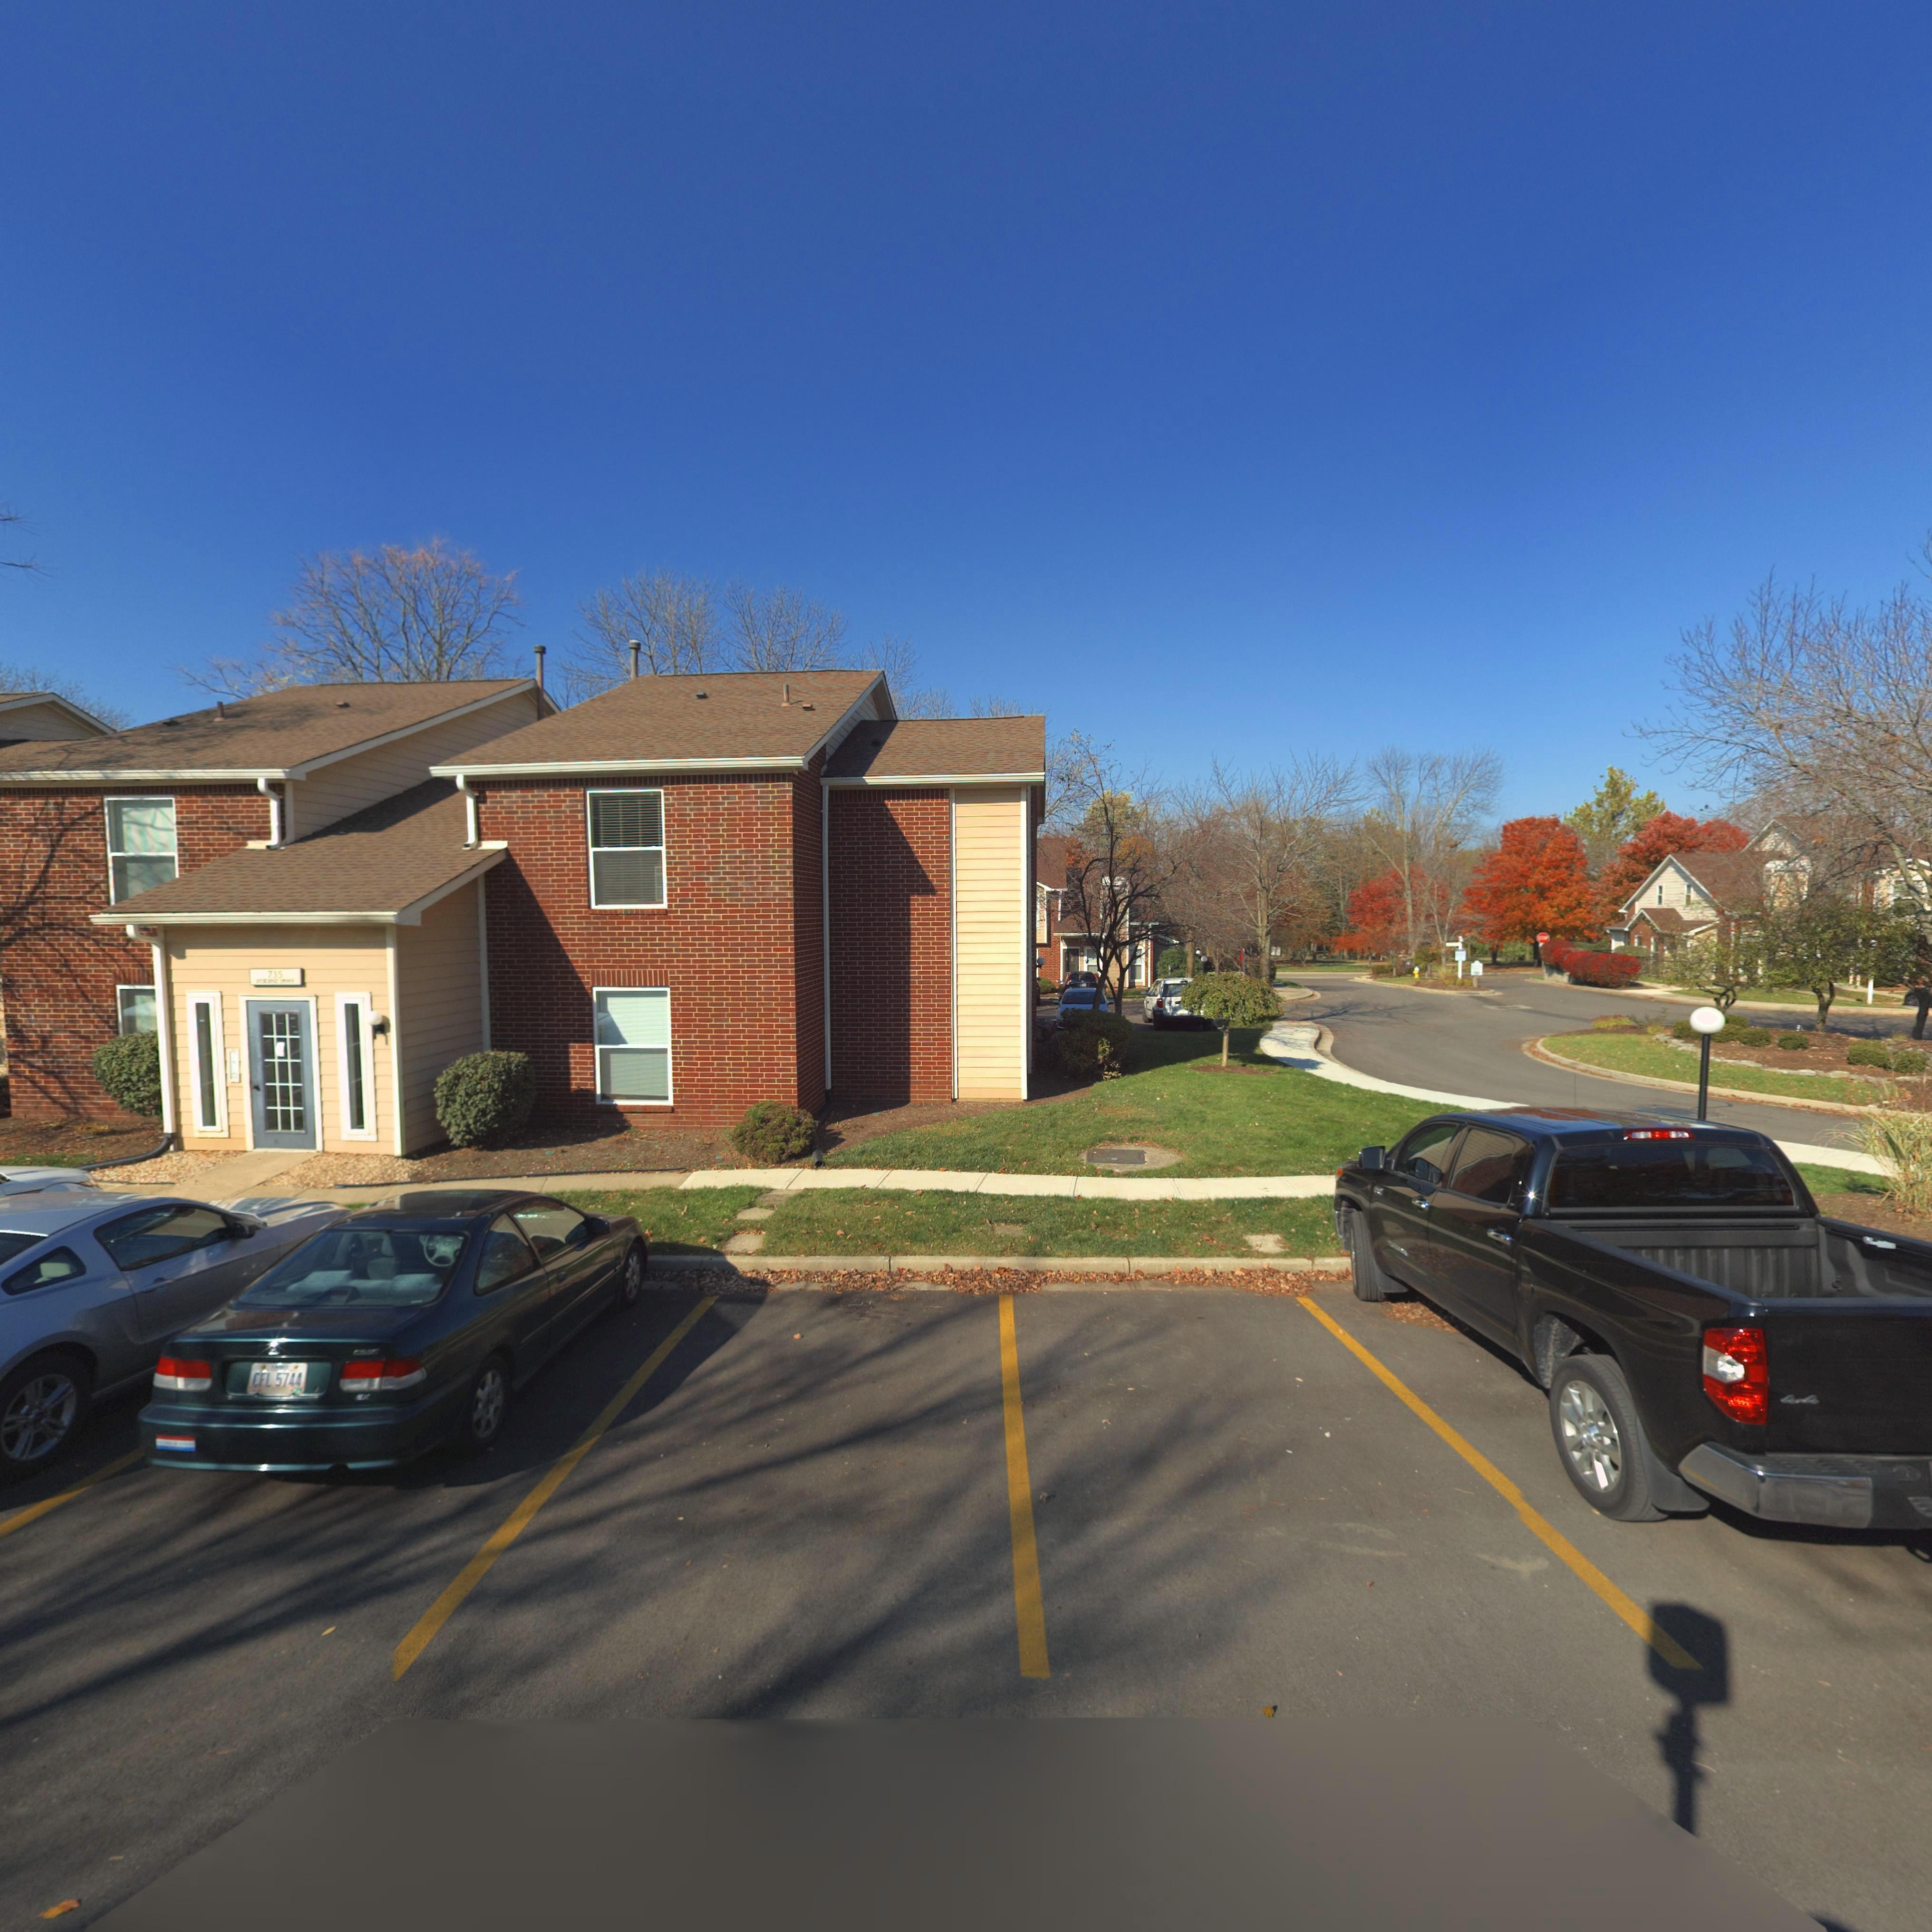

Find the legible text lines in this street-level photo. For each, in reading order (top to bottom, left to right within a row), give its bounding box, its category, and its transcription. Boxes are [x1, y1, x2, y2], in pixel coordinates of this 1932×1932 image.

[267, 970, 283, 978] StreetNumber: 735
[353, 1348, 380, 1356] None: CIVIC
[252, 1372, 302, 1387] None: CFL 5744